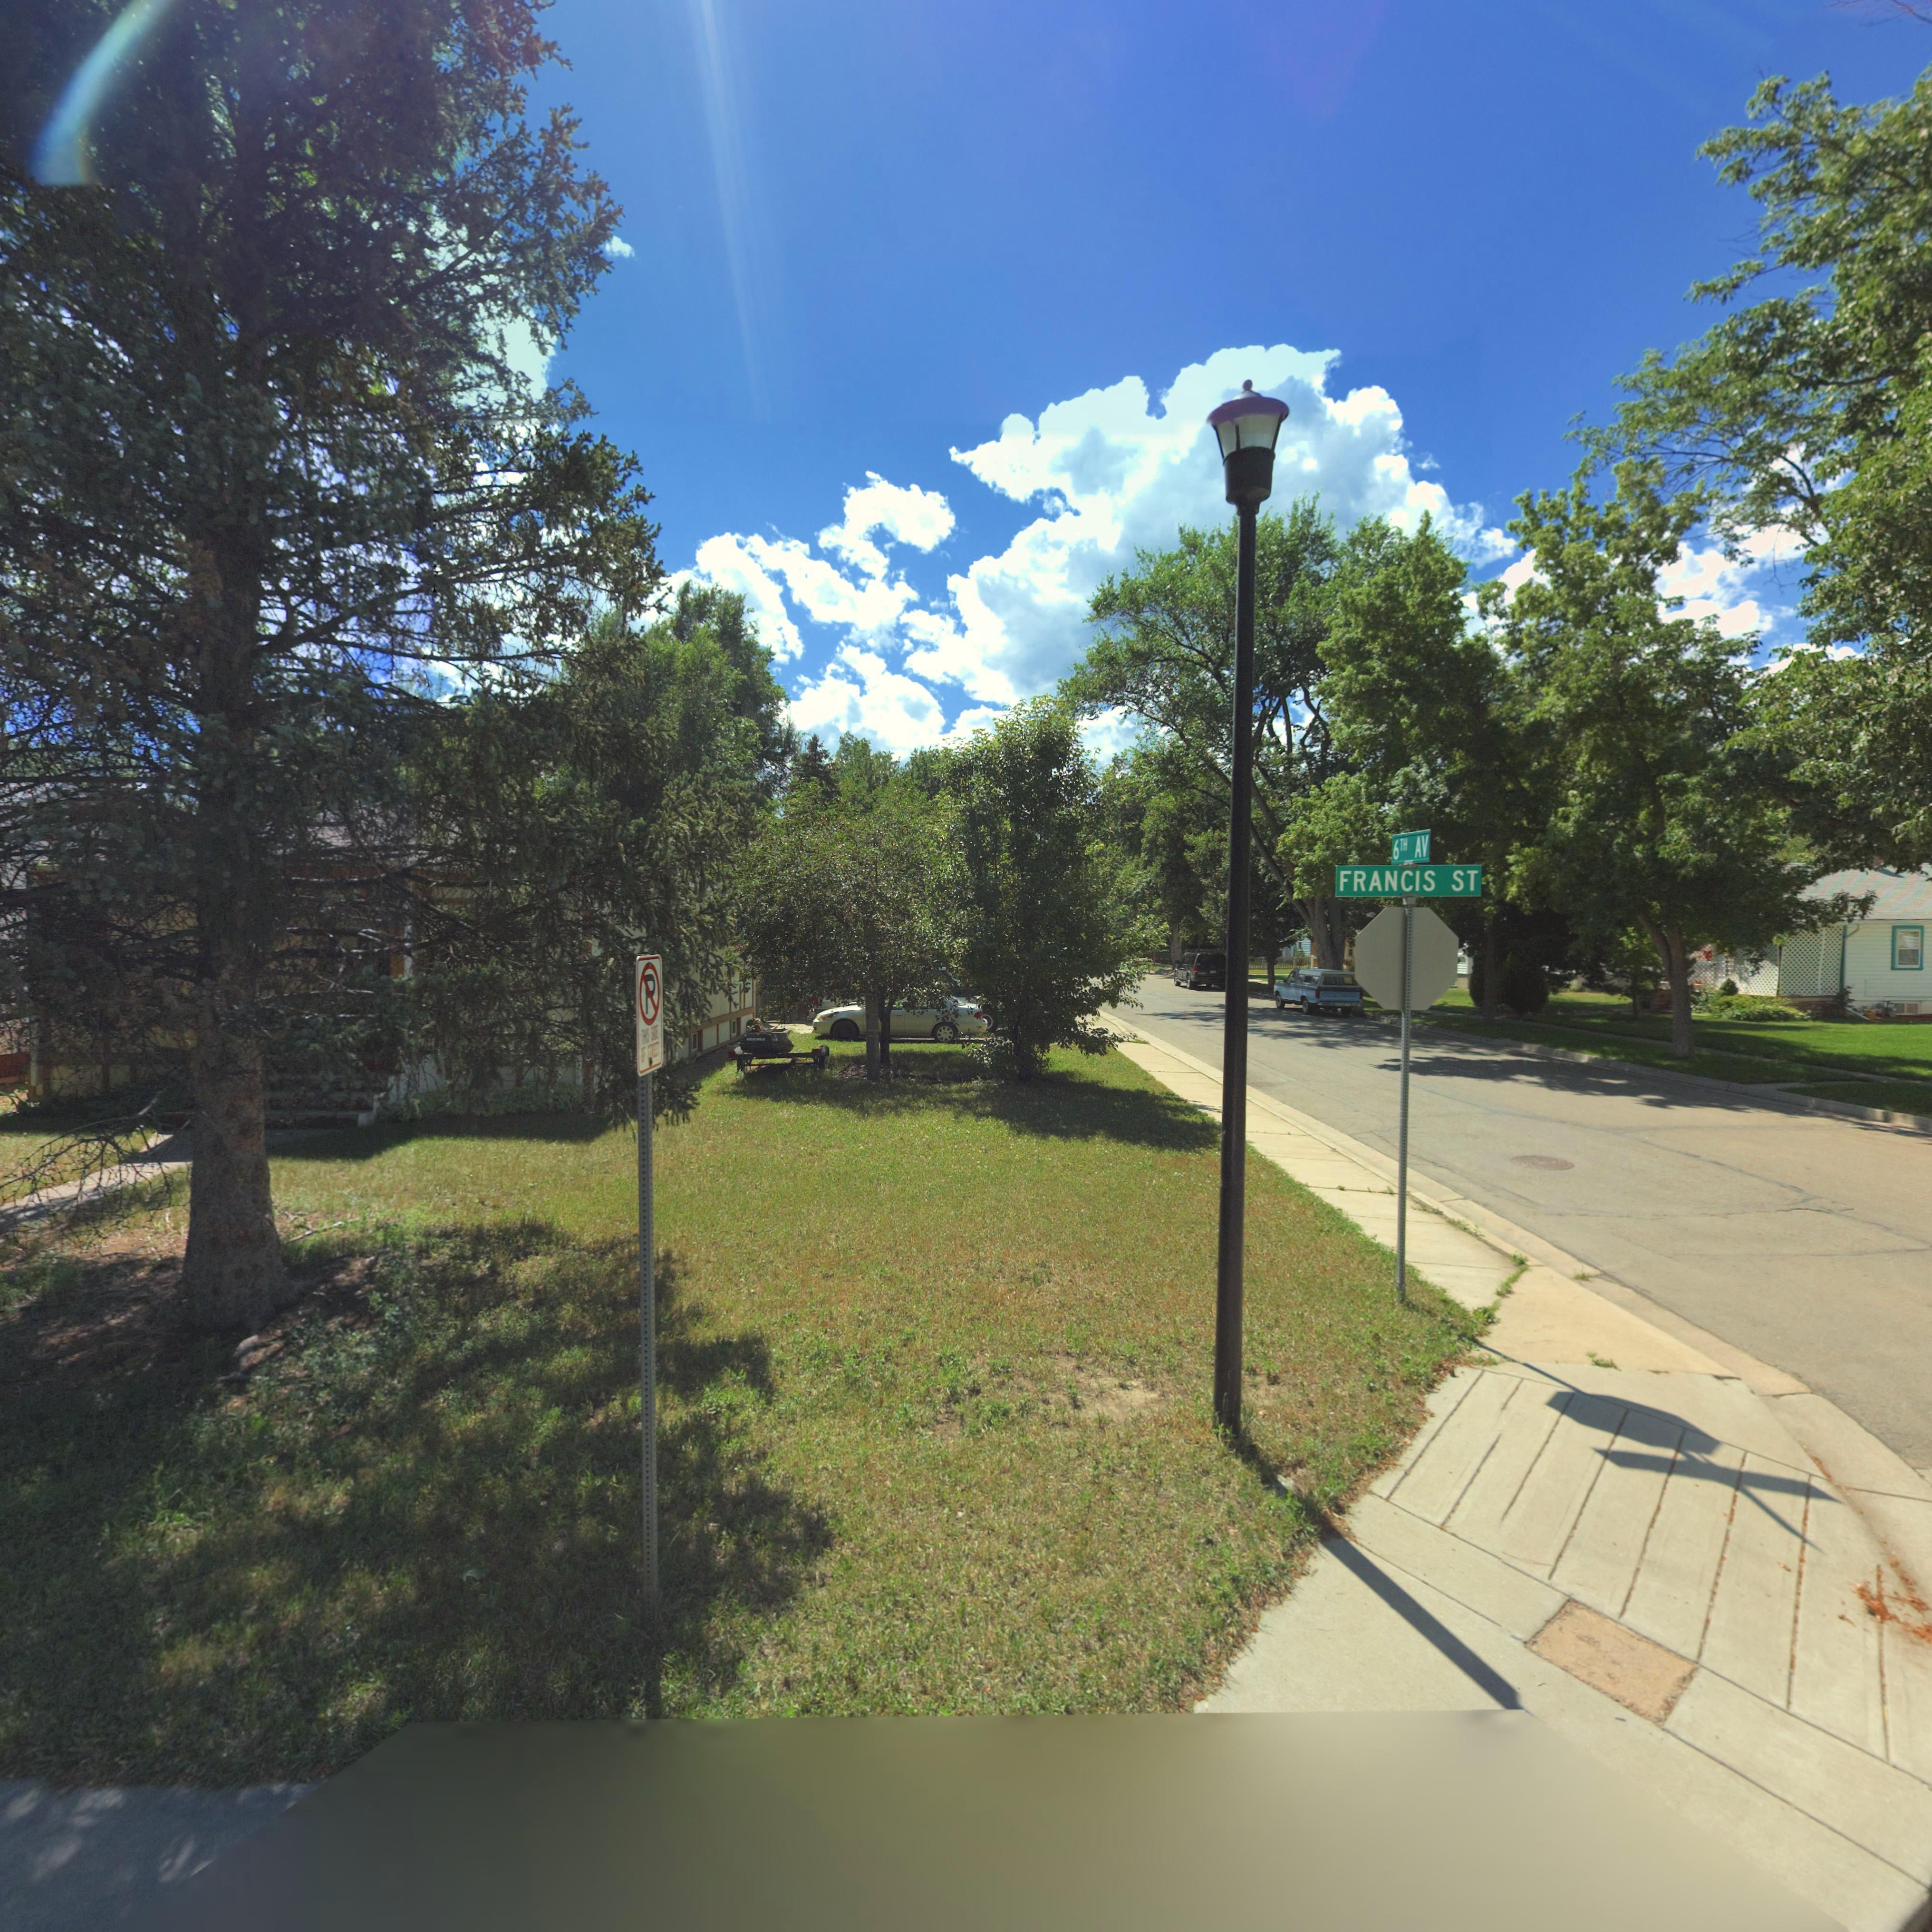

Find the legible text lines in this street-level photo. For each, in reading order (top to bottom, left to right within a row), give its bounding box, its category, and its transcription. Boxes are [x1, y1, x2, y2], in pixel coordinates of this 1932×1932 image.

[1392, 834, 1429, 860] StreetName: 6TH AV
[1339, 869, 1479, 892] StreetName: FRANCIS ST